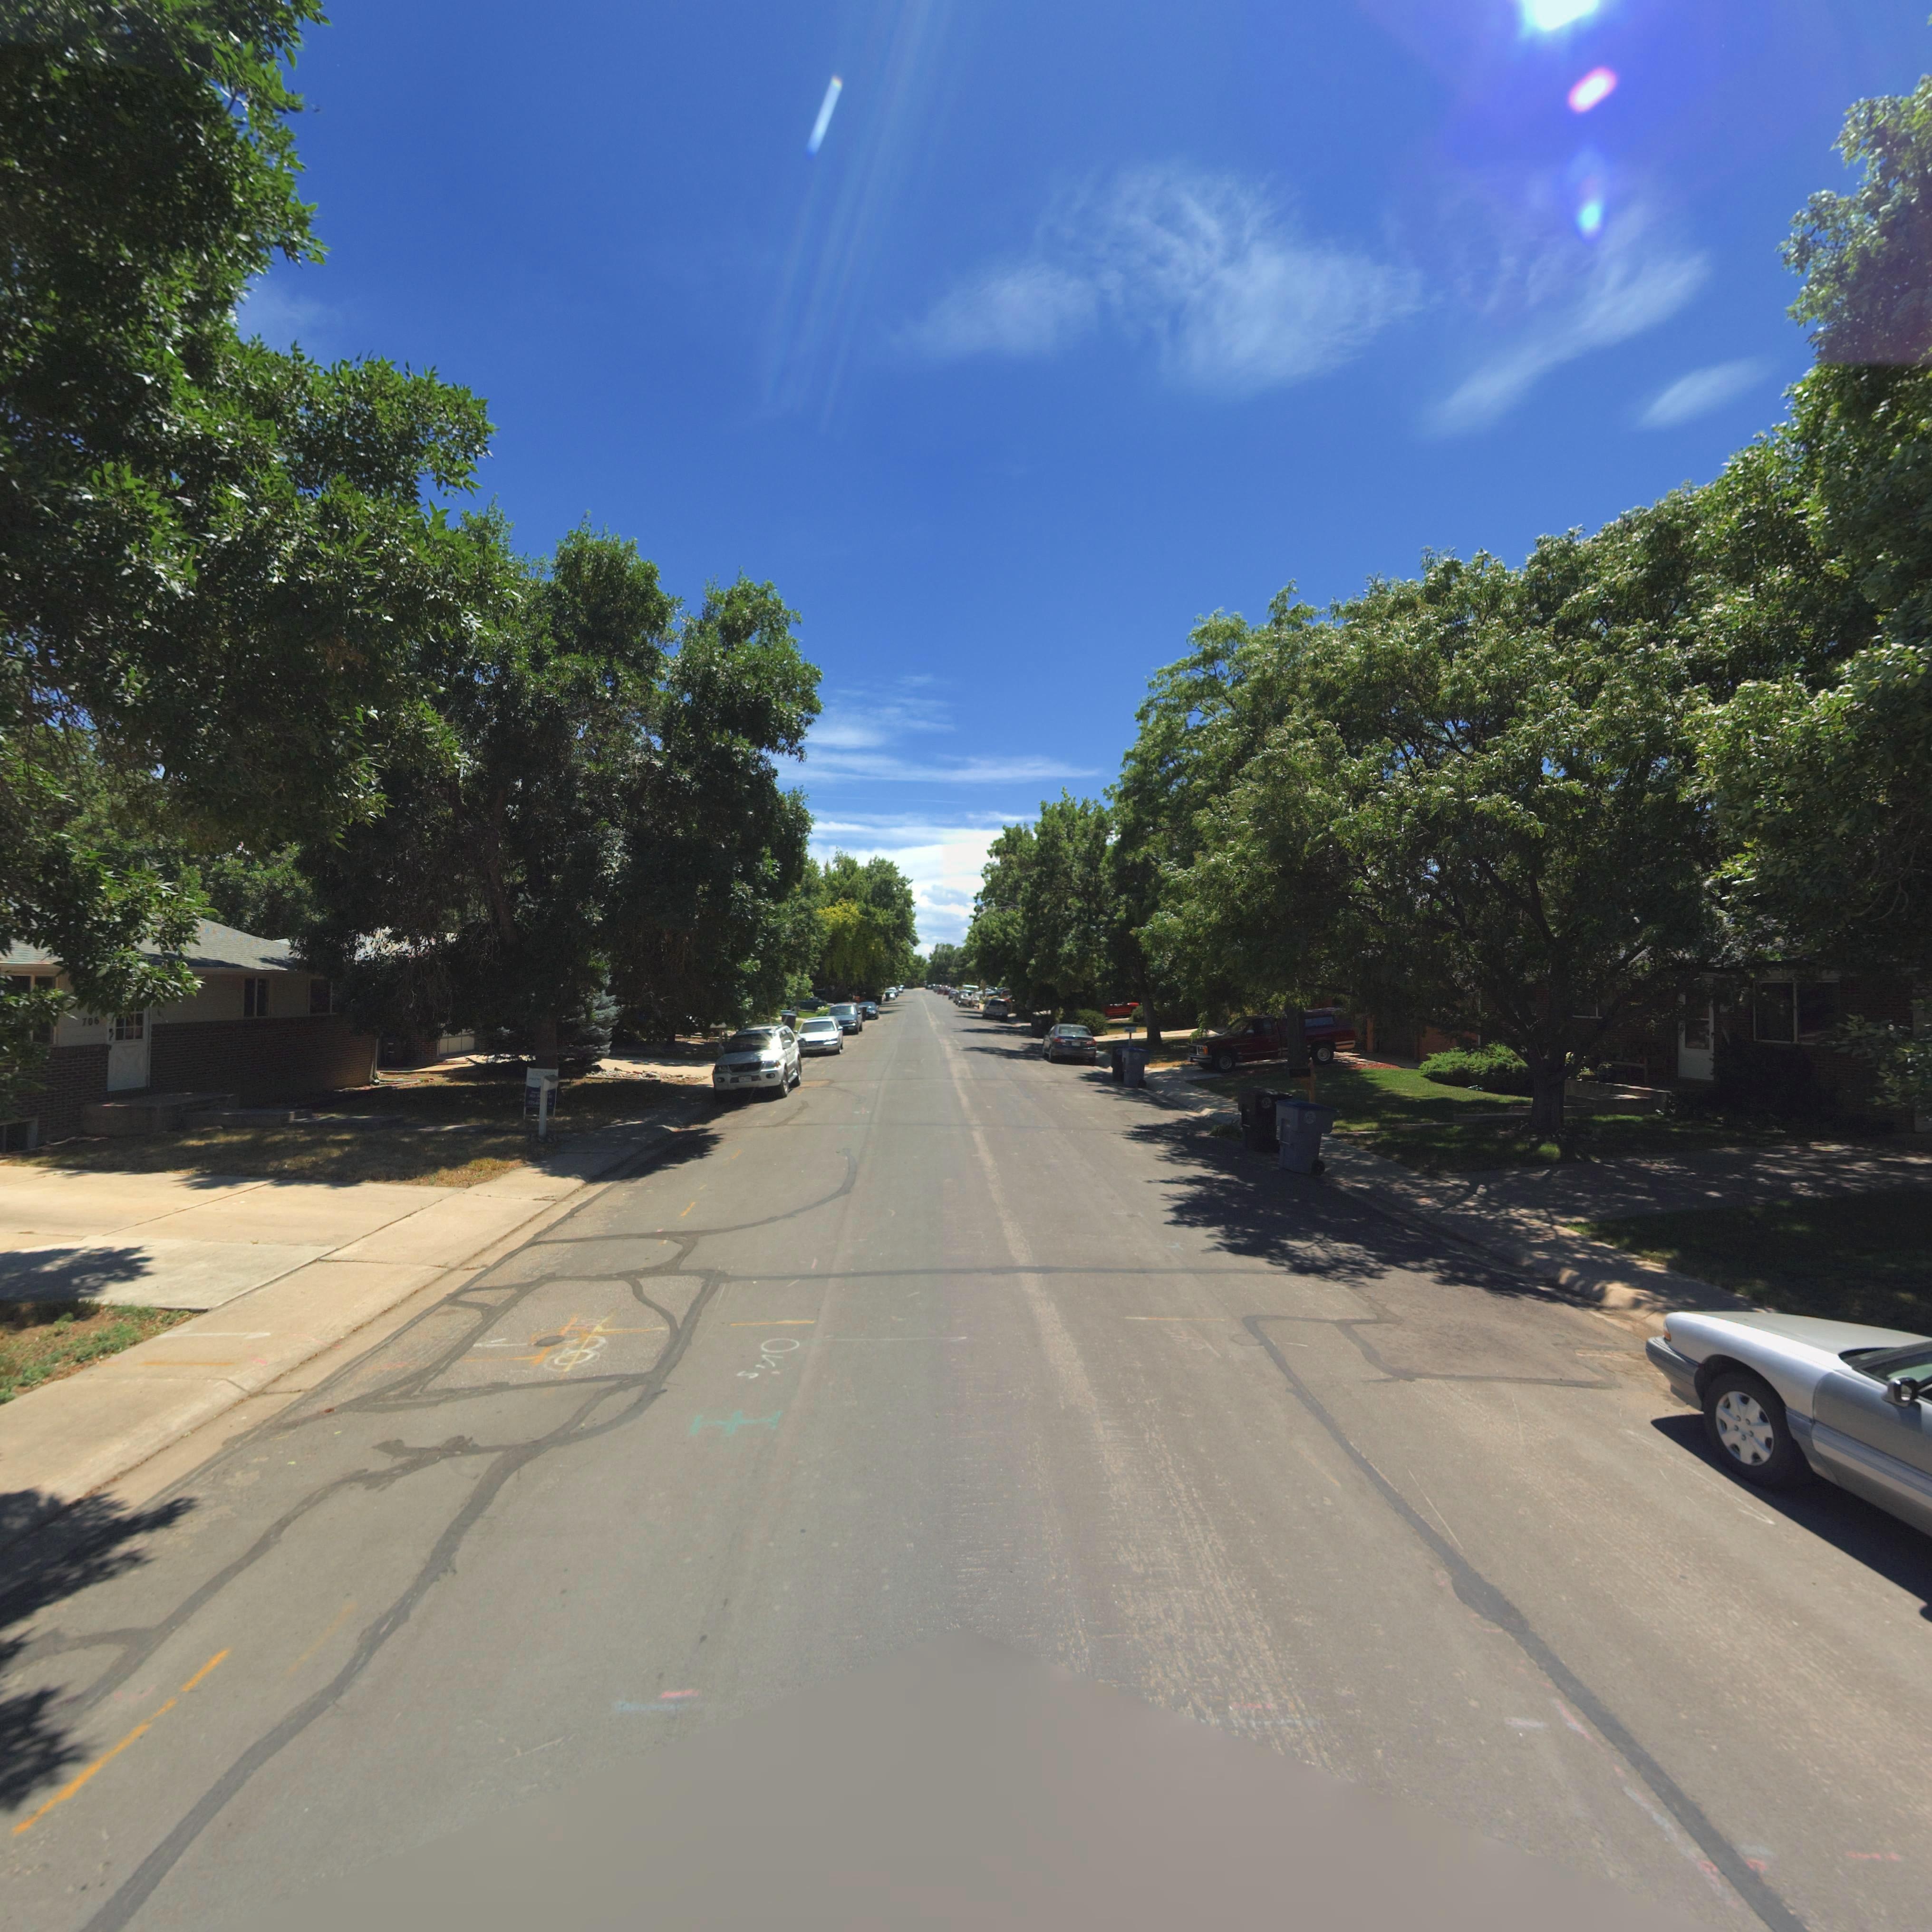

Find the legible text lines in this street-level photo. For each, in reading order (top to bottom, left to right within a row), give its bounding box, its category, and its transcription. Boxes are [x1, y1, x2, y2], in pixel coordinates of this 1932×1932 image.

[81, 1015, 99, 1026] StreetNumber: 706